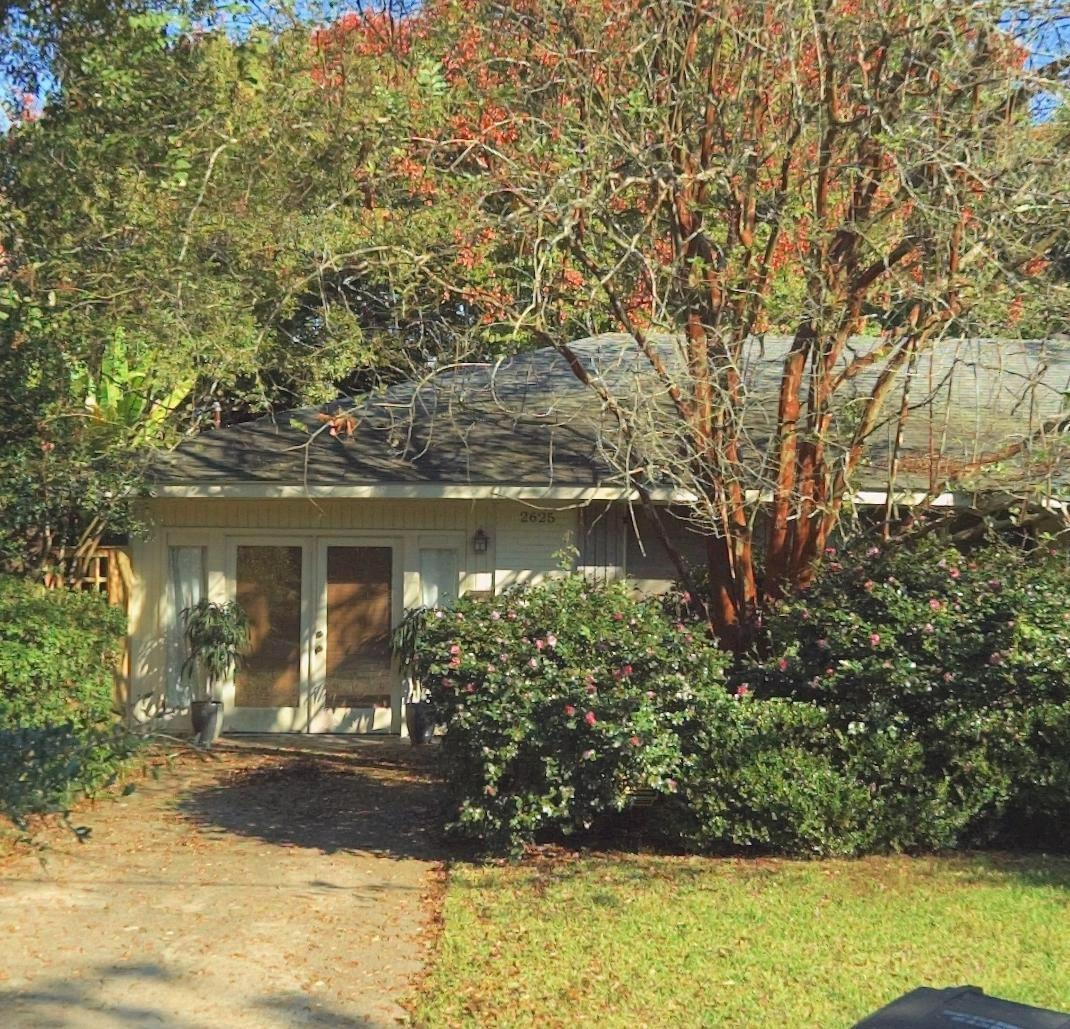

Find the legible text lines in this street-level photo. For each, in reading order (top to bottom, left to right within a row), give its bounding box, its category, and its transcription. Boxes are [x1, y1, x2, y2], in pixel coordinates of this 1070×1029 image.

[518, 510, 557, 526] StreetNumber: 2625